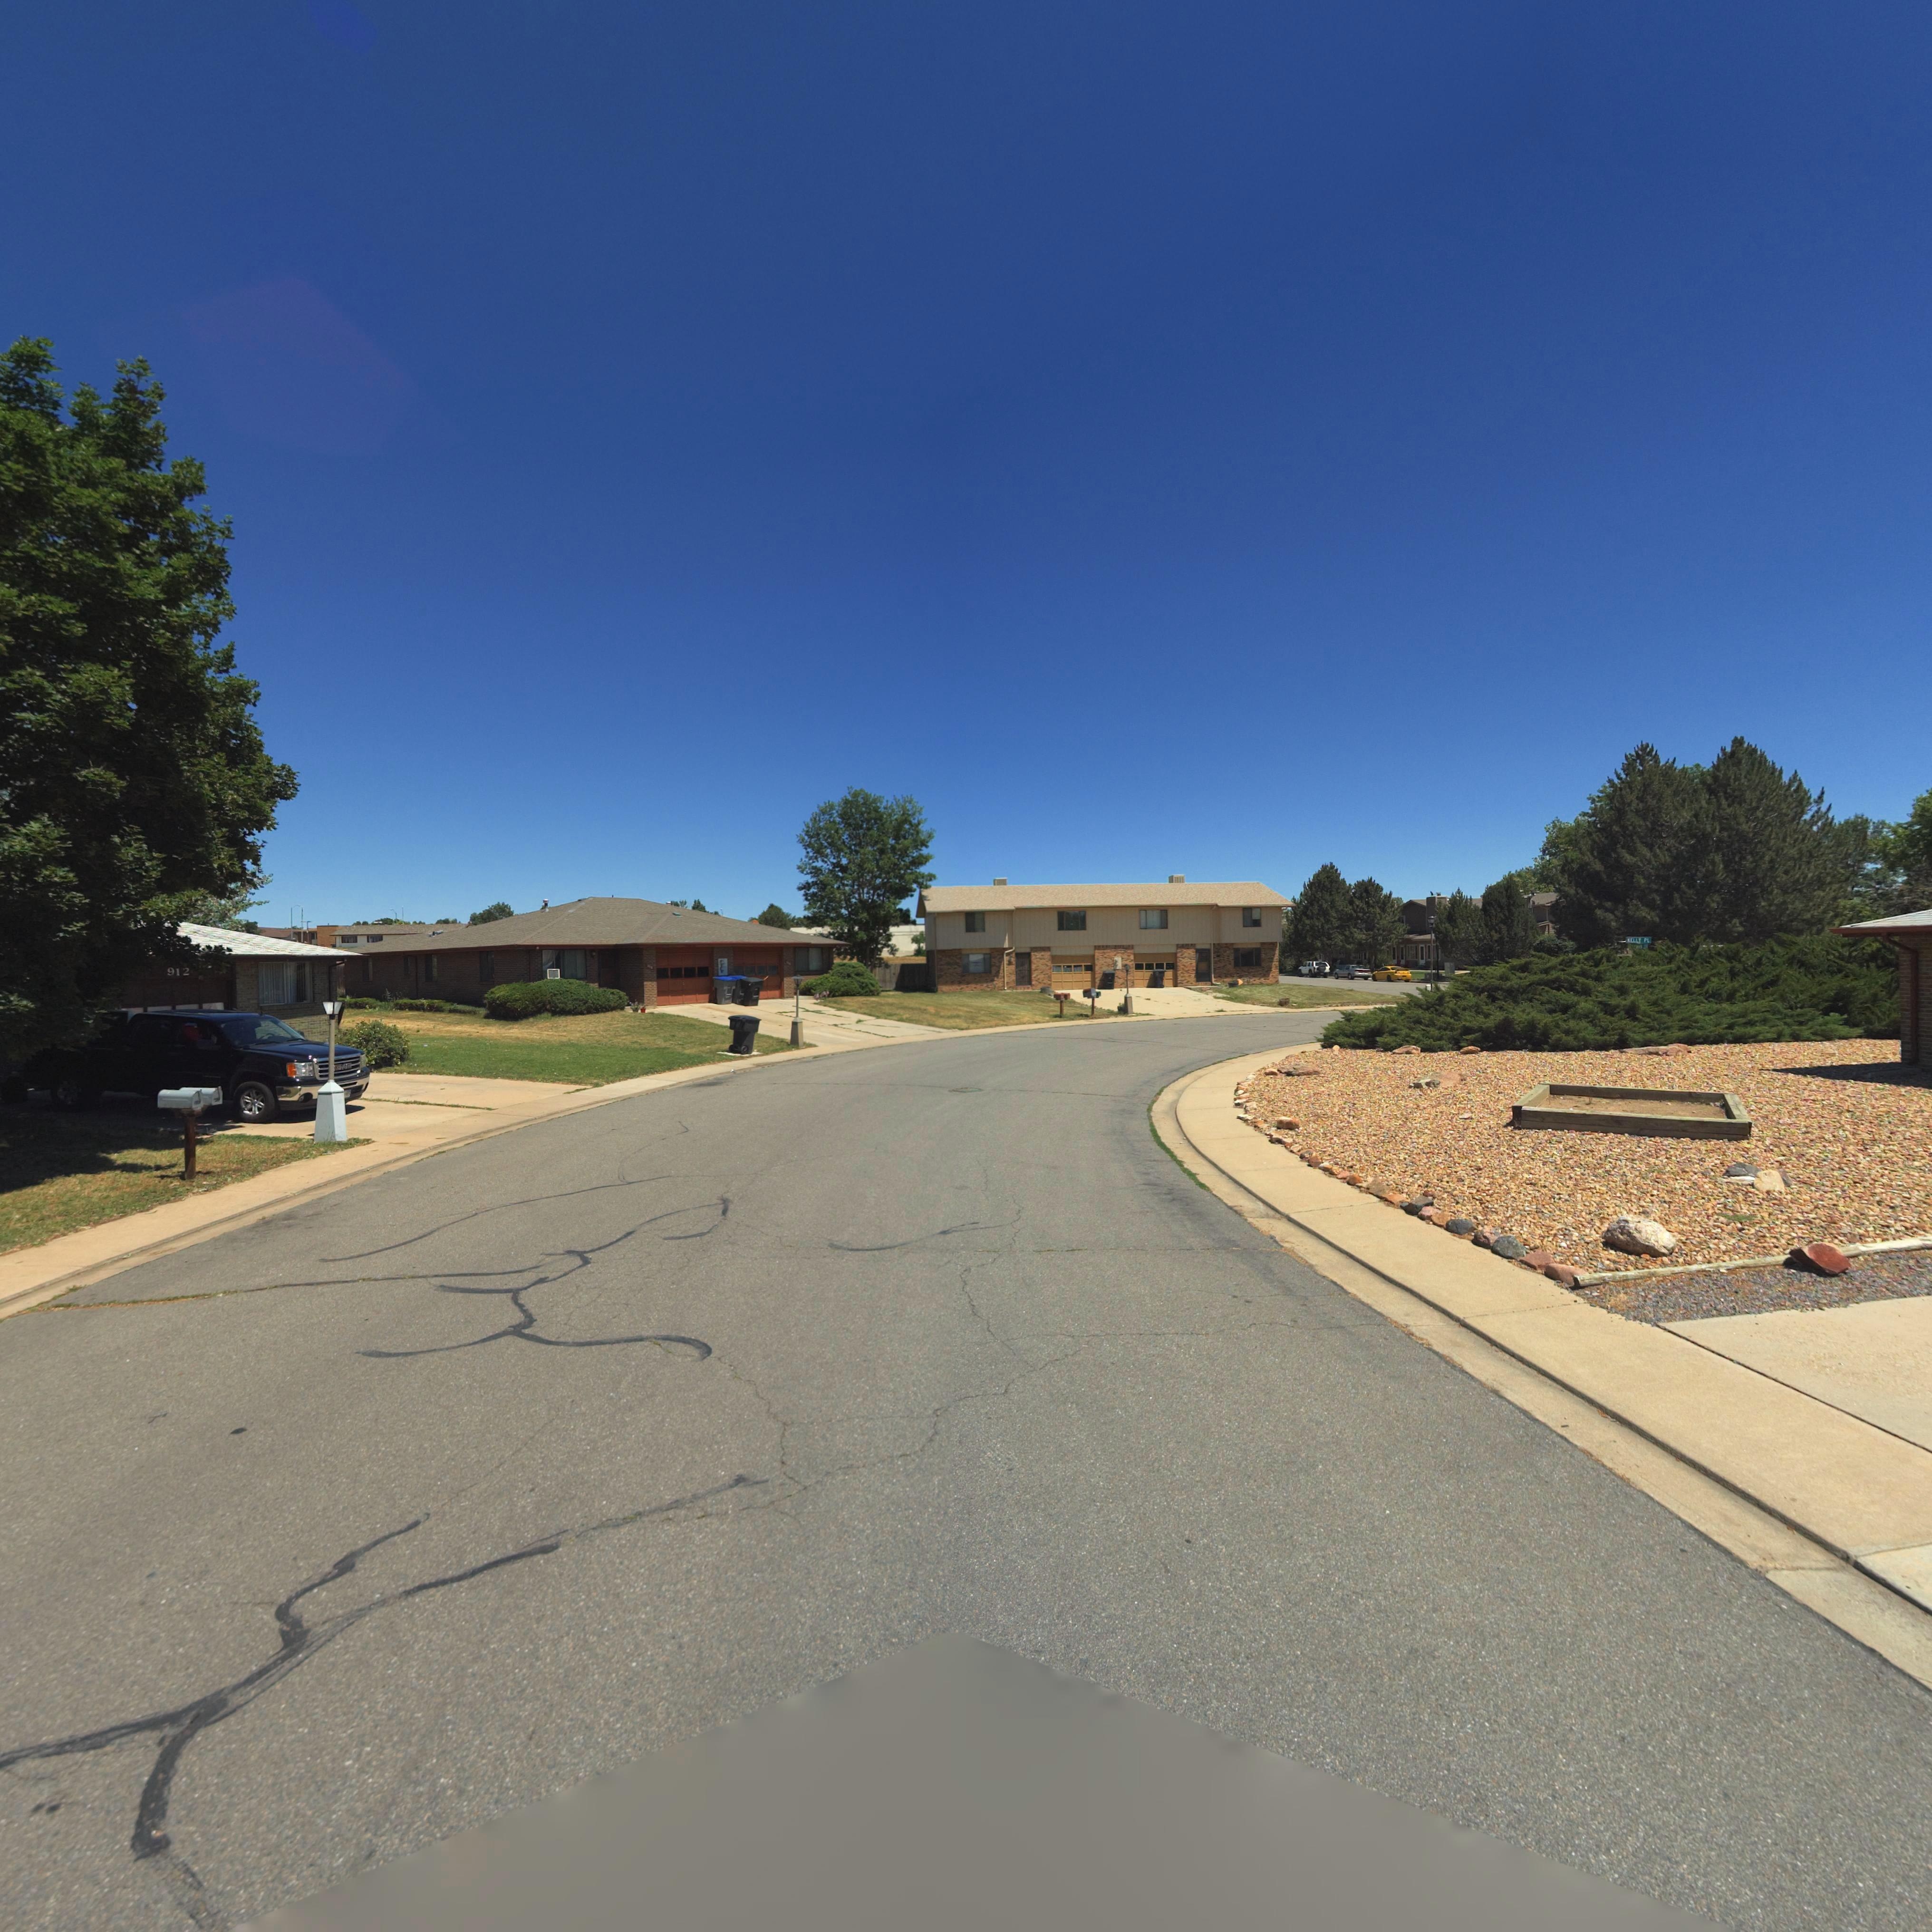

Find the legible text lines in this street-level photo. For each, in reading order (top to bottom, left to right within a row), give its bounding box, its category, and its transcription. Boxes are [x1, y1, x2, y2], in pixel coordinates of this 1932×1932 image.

[1627, 937, 1650, 943] StreetName: Kelly Pl
[166, 966, 190, 976] StreetNumber: 912